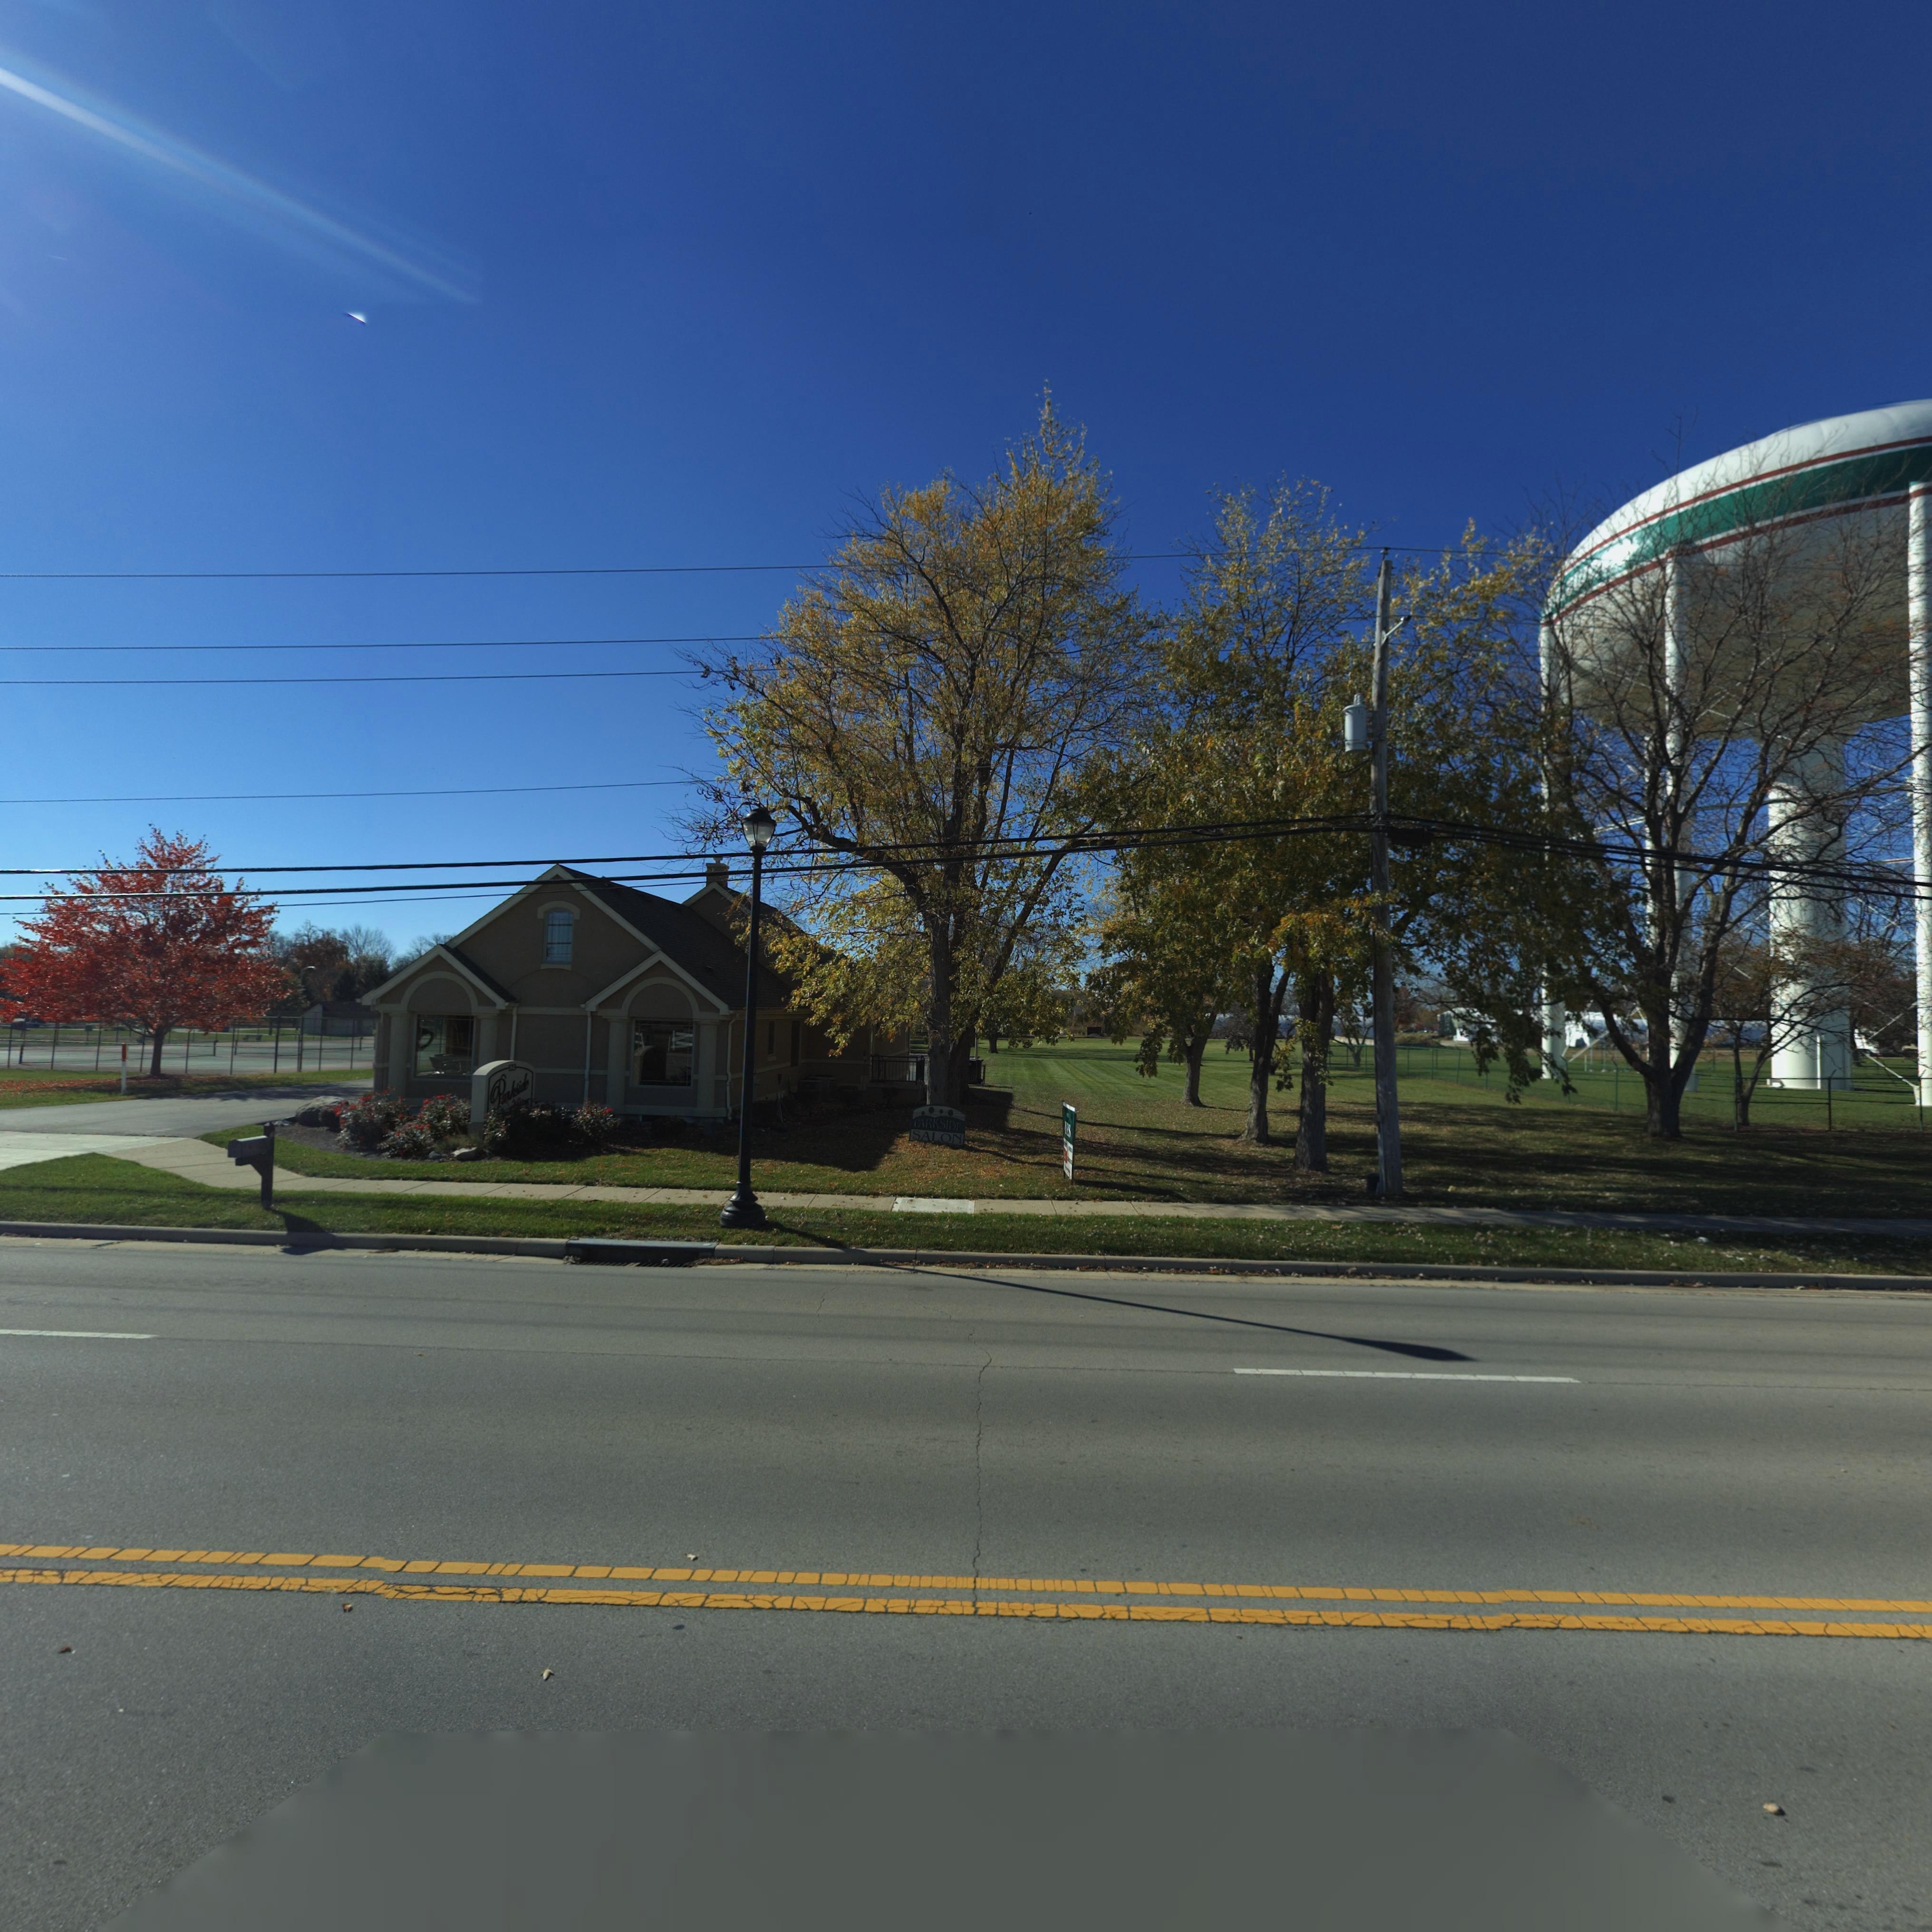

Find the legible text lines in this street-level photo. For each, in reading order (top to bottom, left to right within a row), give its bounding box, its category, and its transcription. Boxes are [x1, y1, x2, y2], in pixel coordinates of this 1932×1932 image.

[508, 1063, 517, 1072] StreetNumber: 123
[489, 1072, 531, 1113] BusinessName: Parkside
[913, 1118, 963, 1133] BusinessName: PARKSIDE
[911, 1130, 963, 1145] BusinessName: SALON